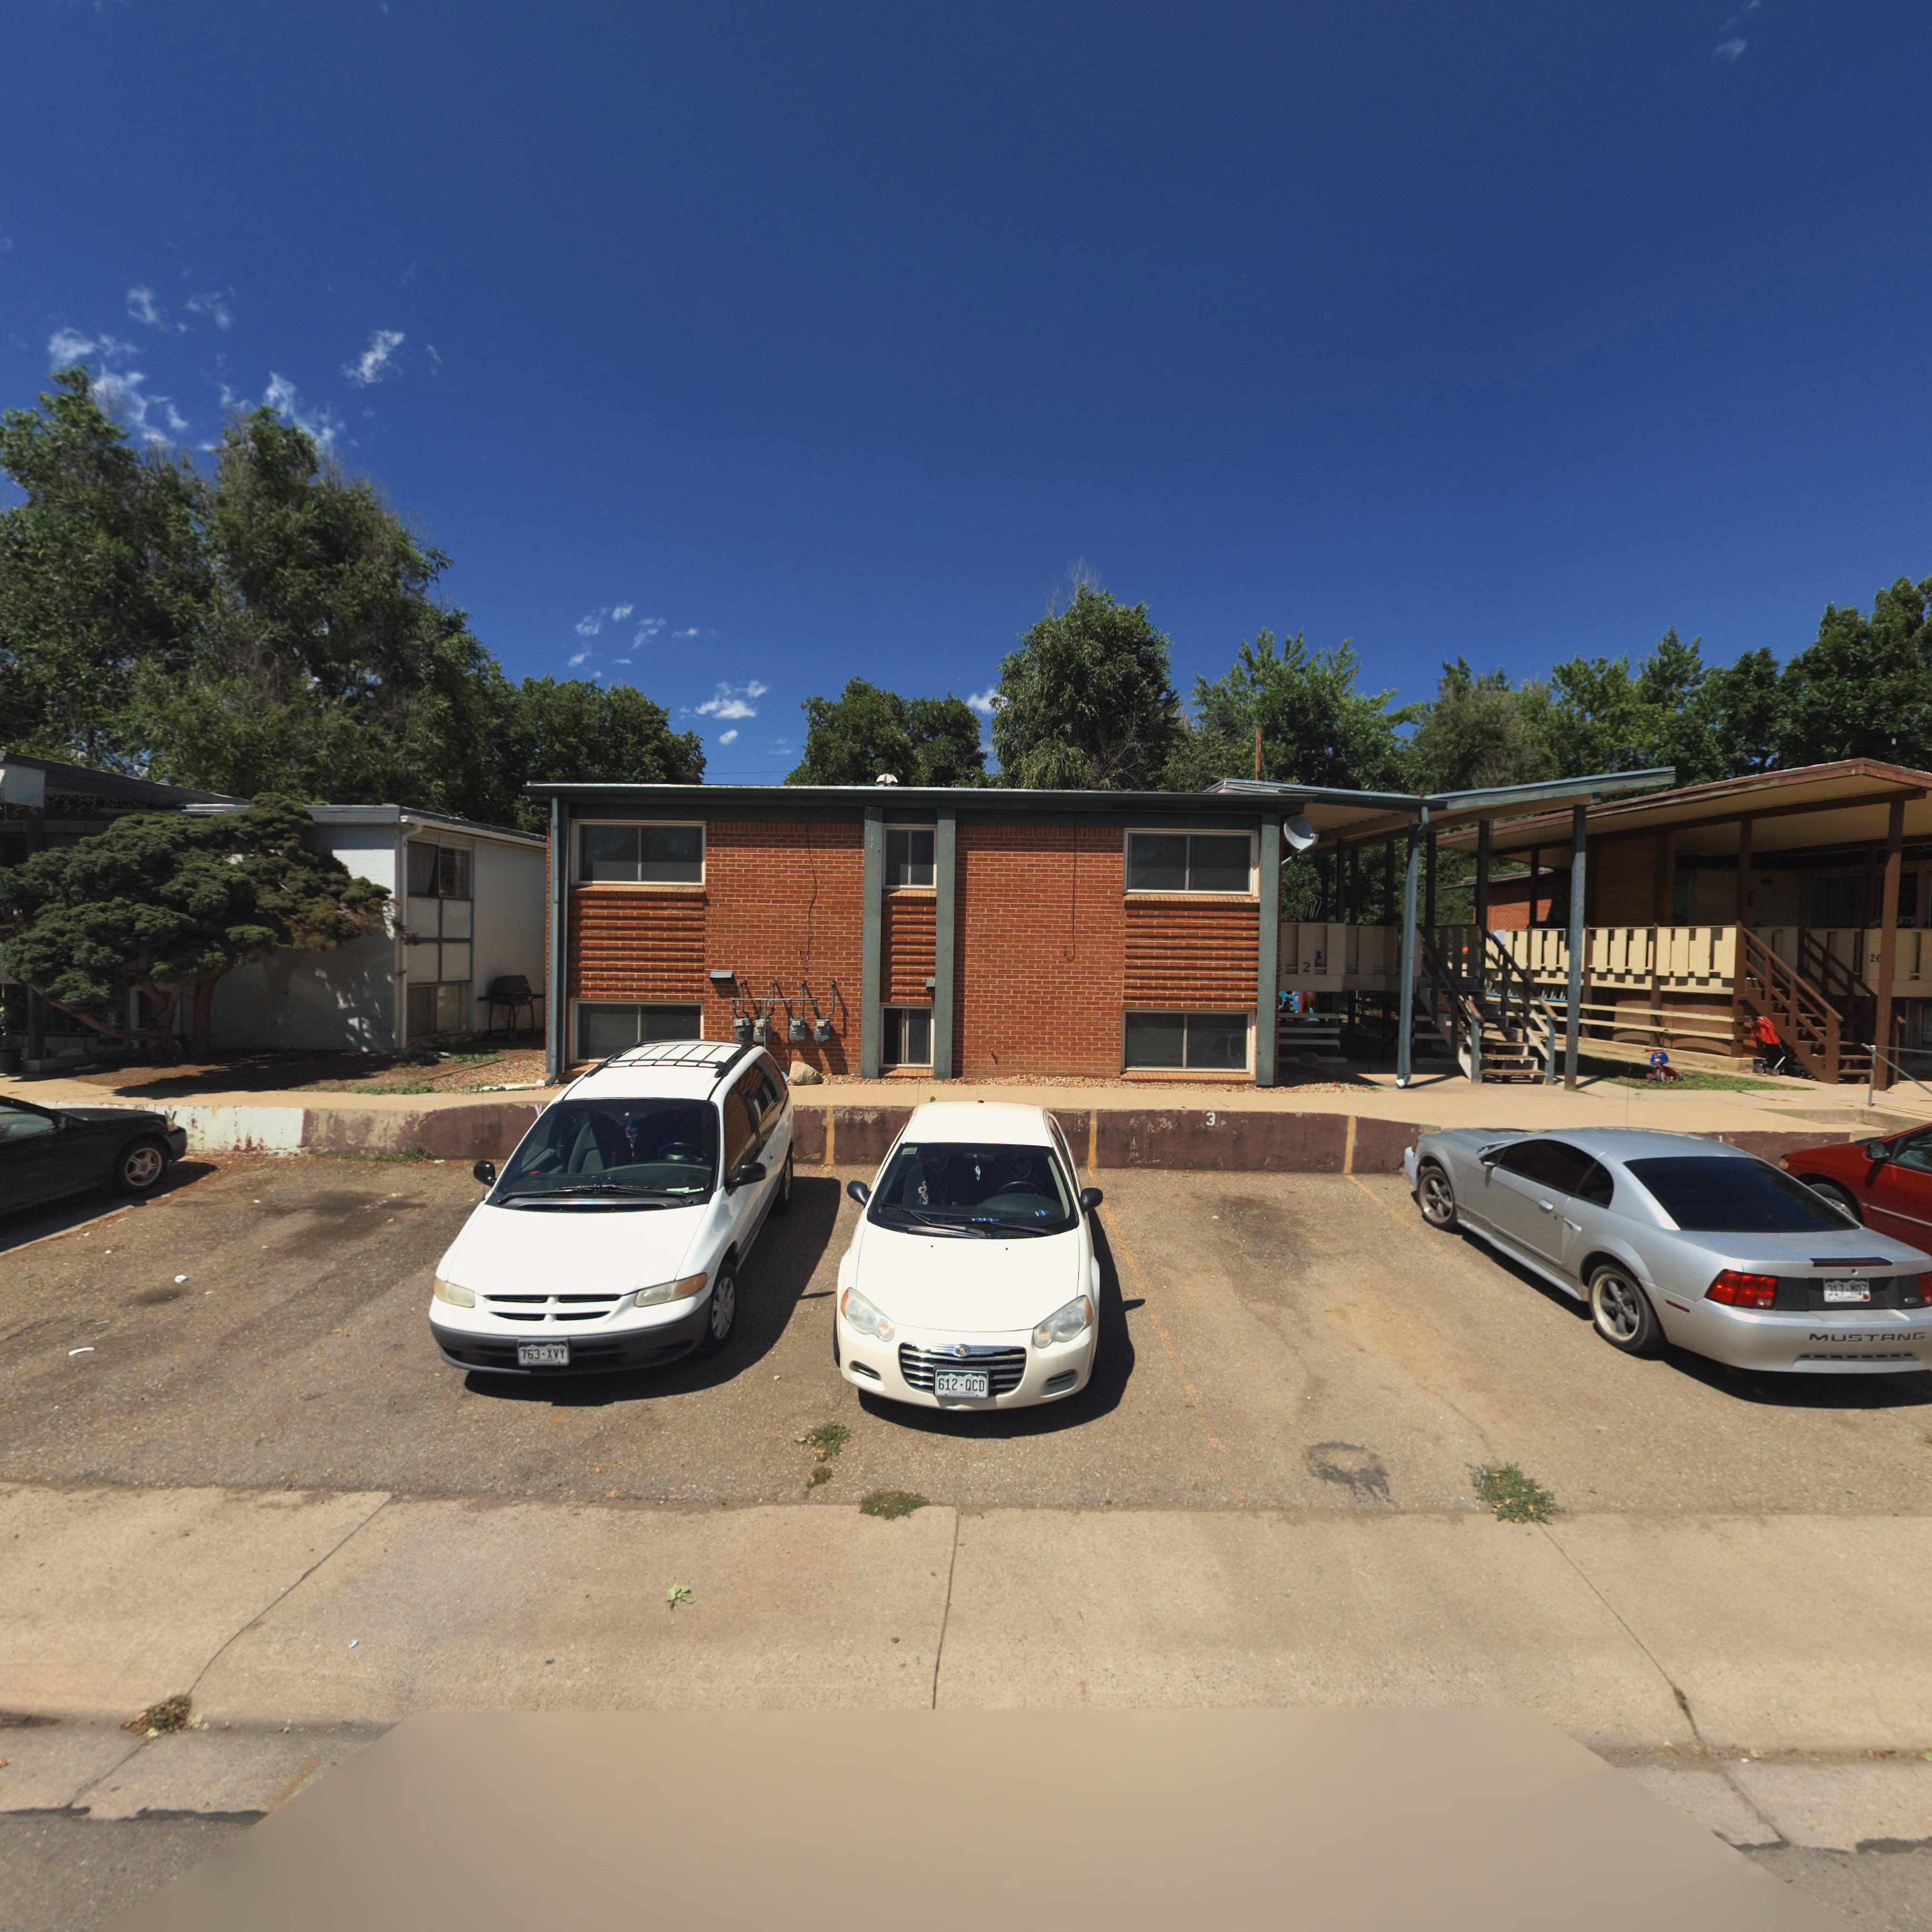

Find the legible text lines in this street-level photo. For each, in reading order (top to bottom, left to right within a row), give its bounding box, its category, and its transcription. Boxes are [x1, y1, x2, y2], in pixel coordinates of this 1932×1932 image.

[1870, 954, 1880, 963] StreetNumber: 2*
[1302, 961, 1311, 973] StreetNumber: 2